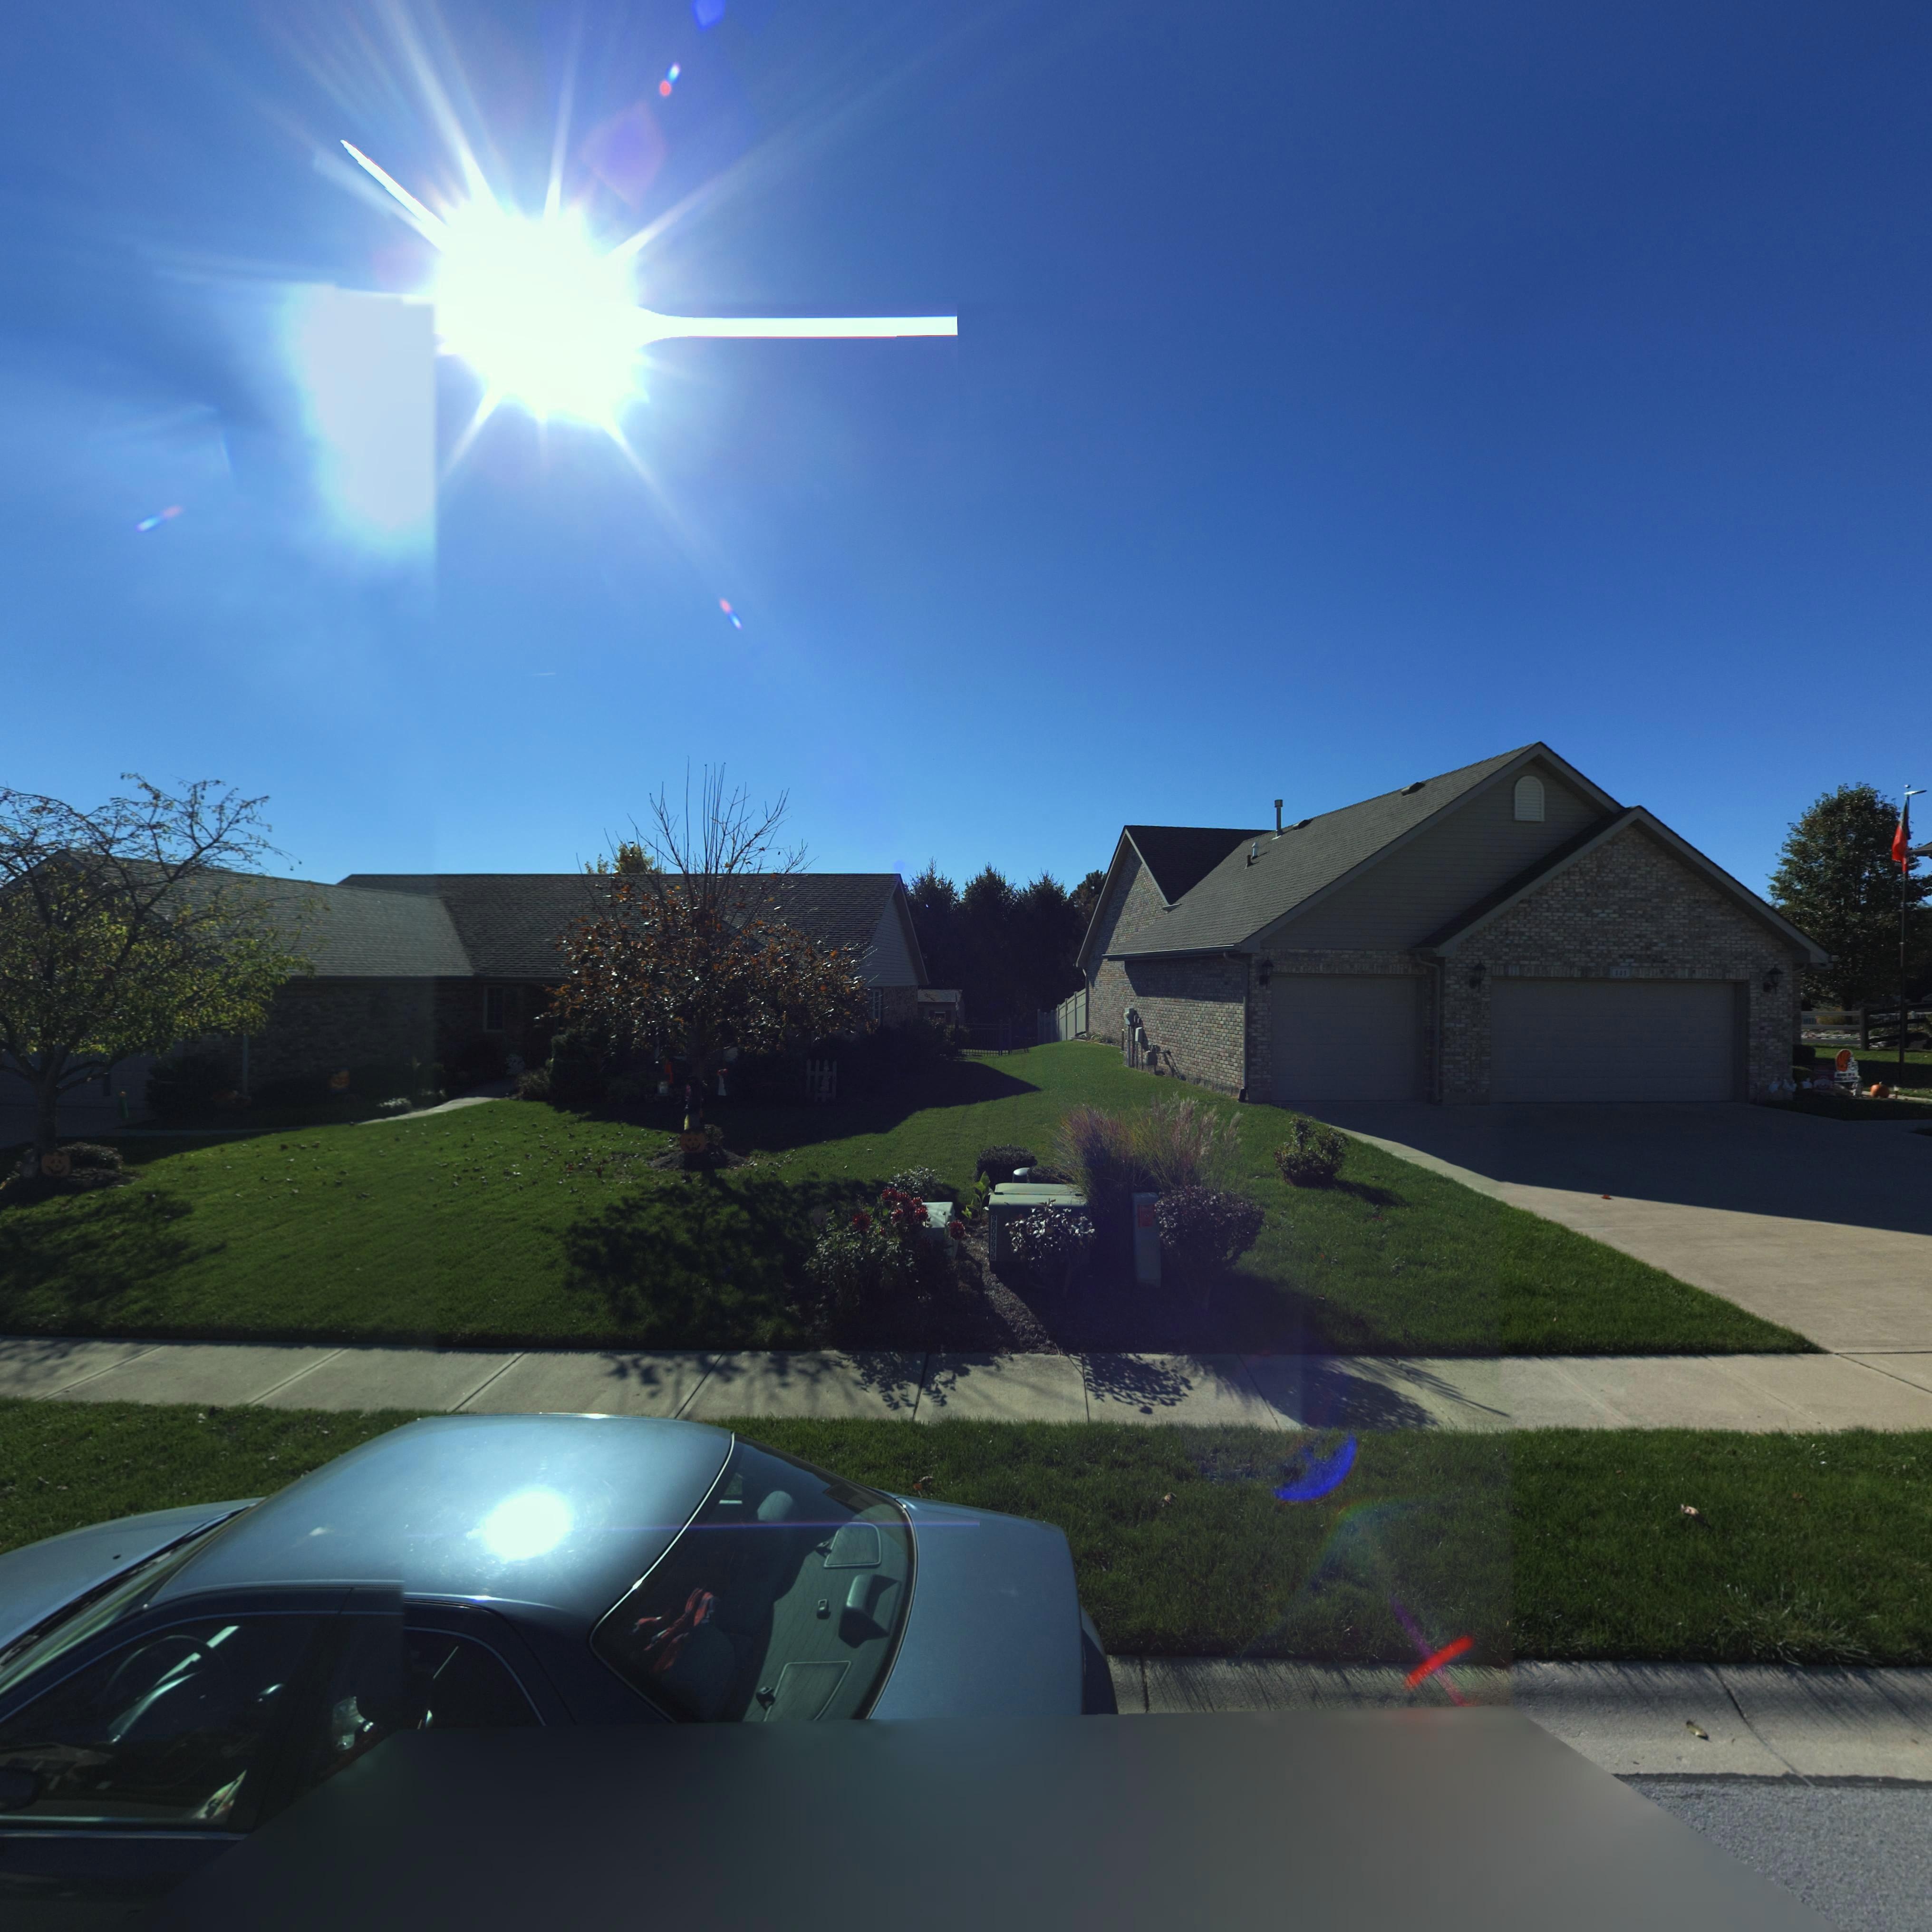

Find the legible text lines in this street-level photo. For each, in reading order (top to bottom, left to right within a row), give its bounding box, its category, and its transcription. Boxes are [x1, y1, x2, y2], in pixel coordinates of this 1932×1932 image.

[1614, 969, 1627, 976] StreetNumber: 141